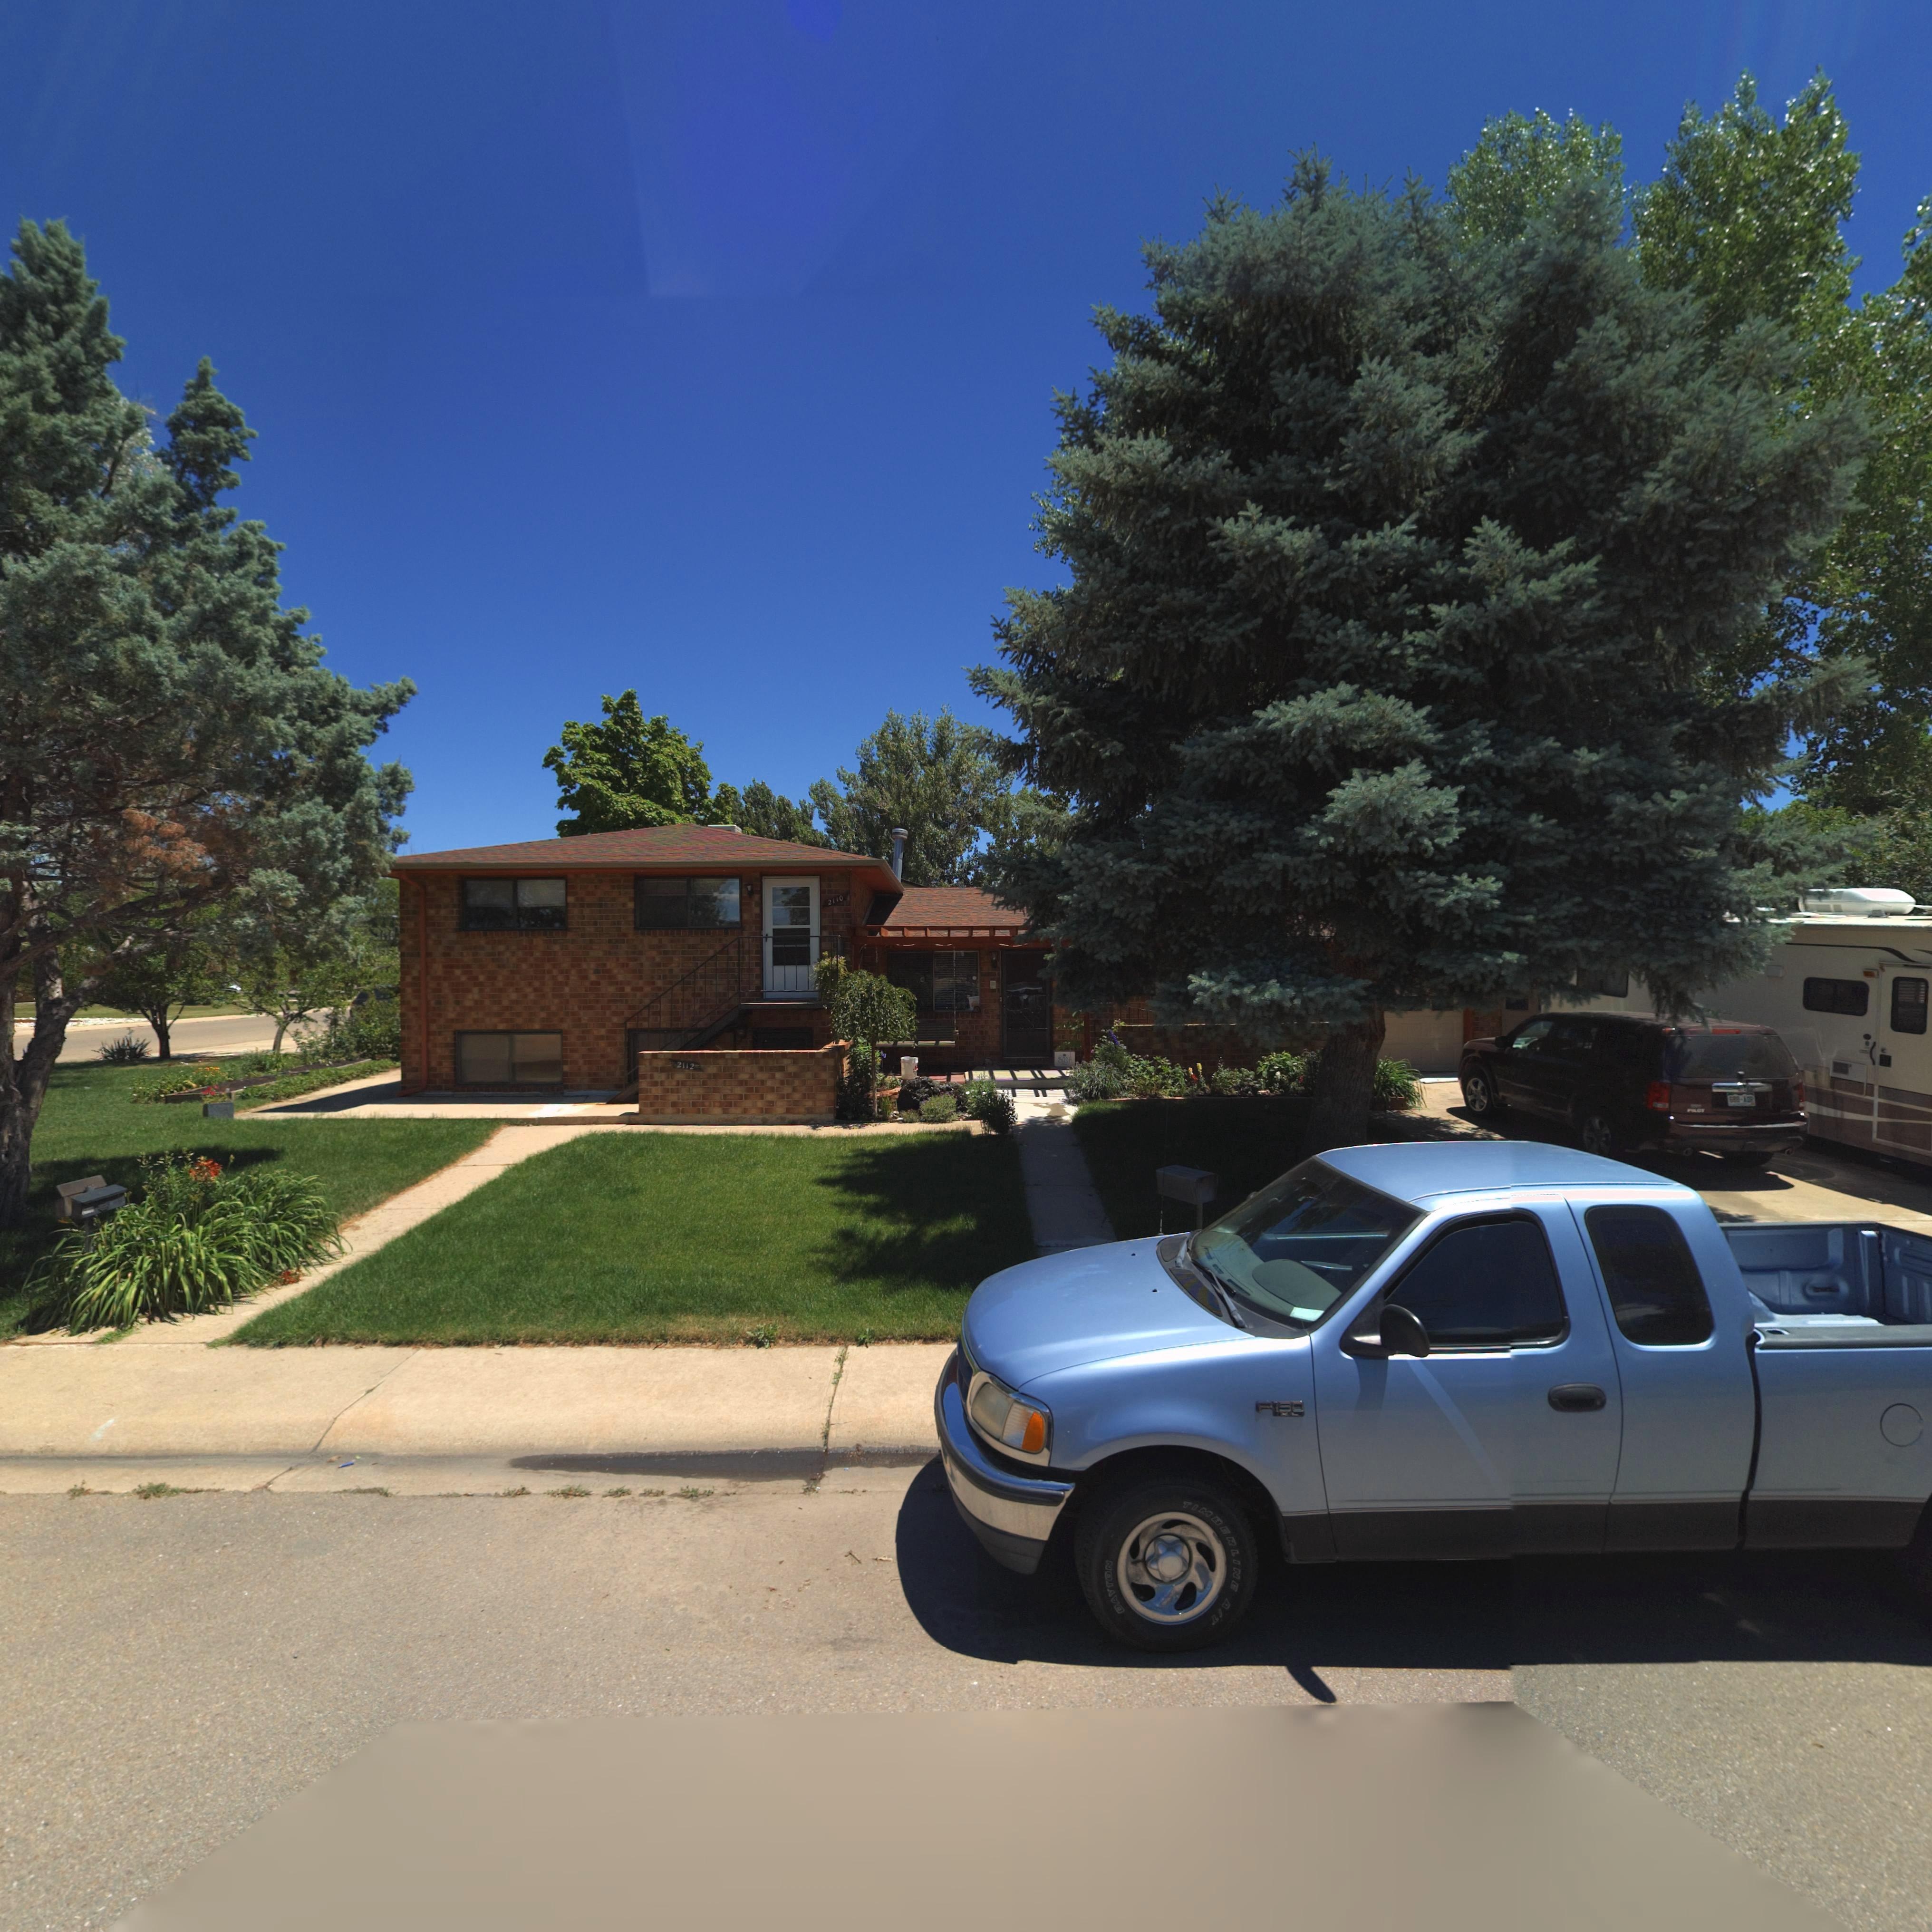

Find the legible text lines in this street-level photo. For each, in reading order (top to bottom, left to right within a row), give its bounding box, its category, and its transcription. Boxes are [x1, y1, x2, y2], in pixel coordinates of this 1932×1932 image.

[825, 892, 844, 907] StreetNumber: 2110
[674, 1059, 697, 1071] StreetNumber: 2112